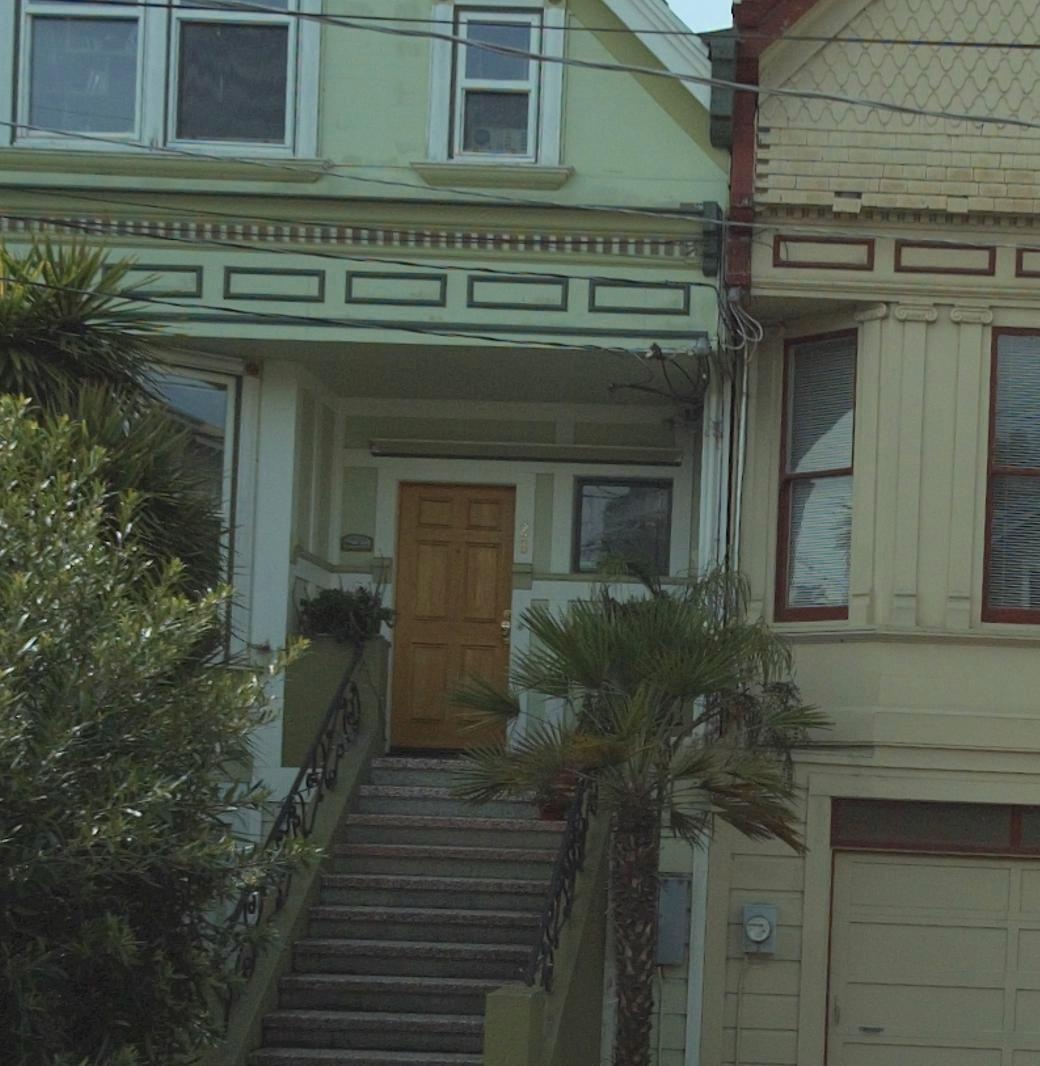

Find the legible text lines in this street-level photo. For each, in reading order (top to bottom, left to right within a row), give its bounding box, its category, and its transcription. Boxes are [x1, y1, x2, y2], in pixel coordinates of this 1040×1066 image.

[516, 520, 530, 555] StreetNumber: 28